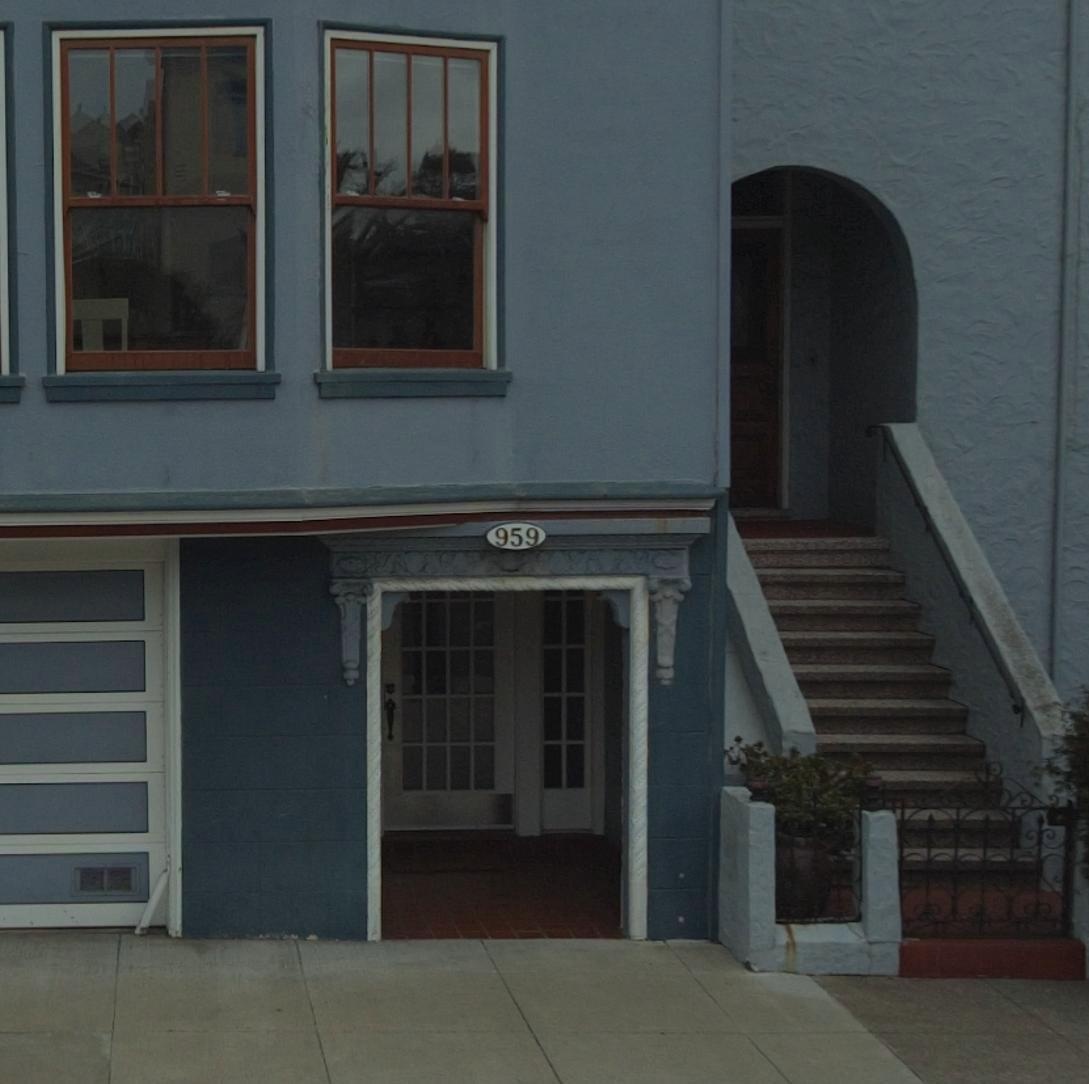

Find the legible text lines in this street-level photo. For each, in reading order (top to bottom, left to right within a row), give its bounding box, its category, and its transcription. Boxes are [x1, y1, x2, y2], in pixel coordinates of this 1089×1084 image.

[496, 524, 540, 548] StreetNumber: 959